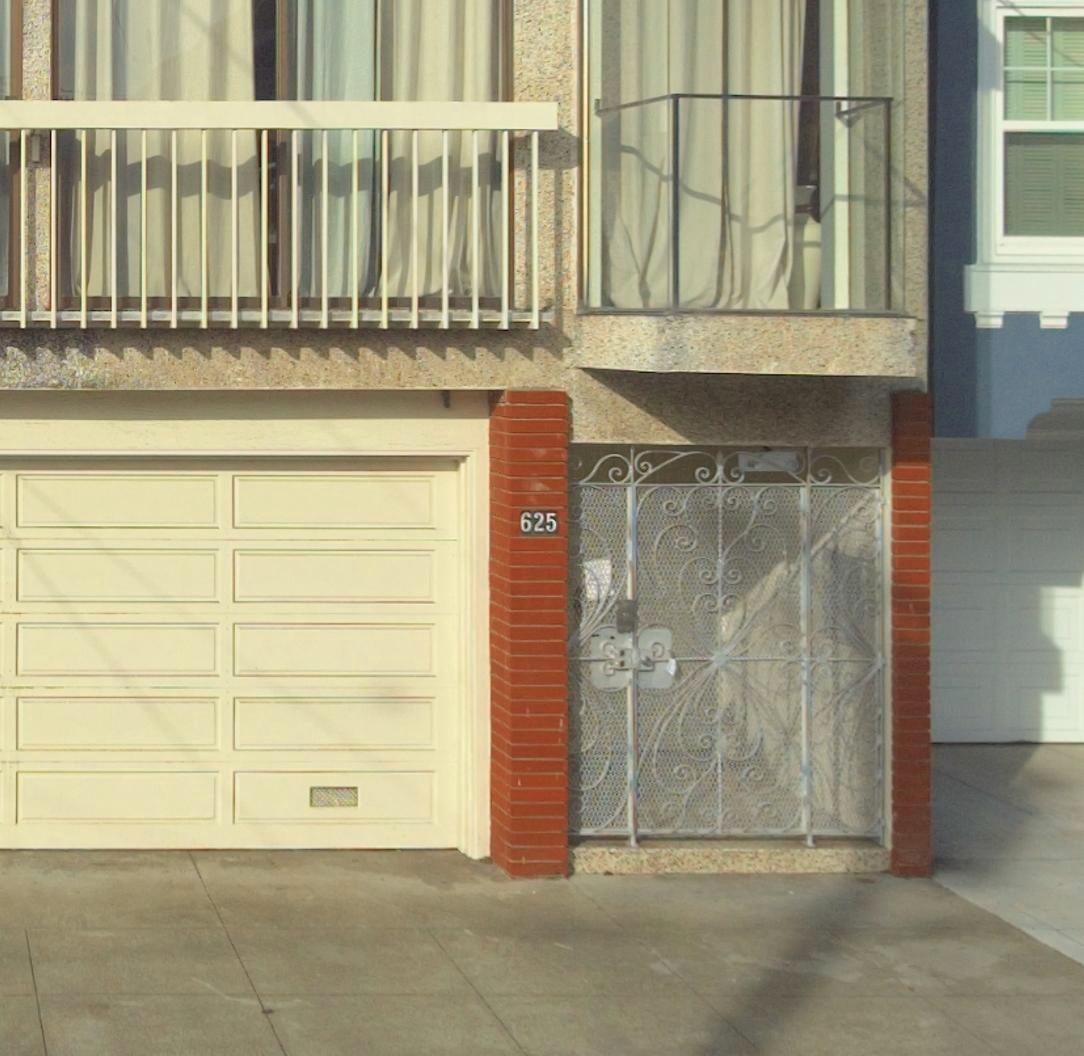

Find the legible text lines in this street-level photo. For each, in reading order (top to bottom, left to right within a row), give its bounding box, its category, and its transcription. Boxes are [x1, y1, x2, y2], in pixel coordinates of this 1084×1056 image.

[519, 509, 559, 535] StreetNumber: 625